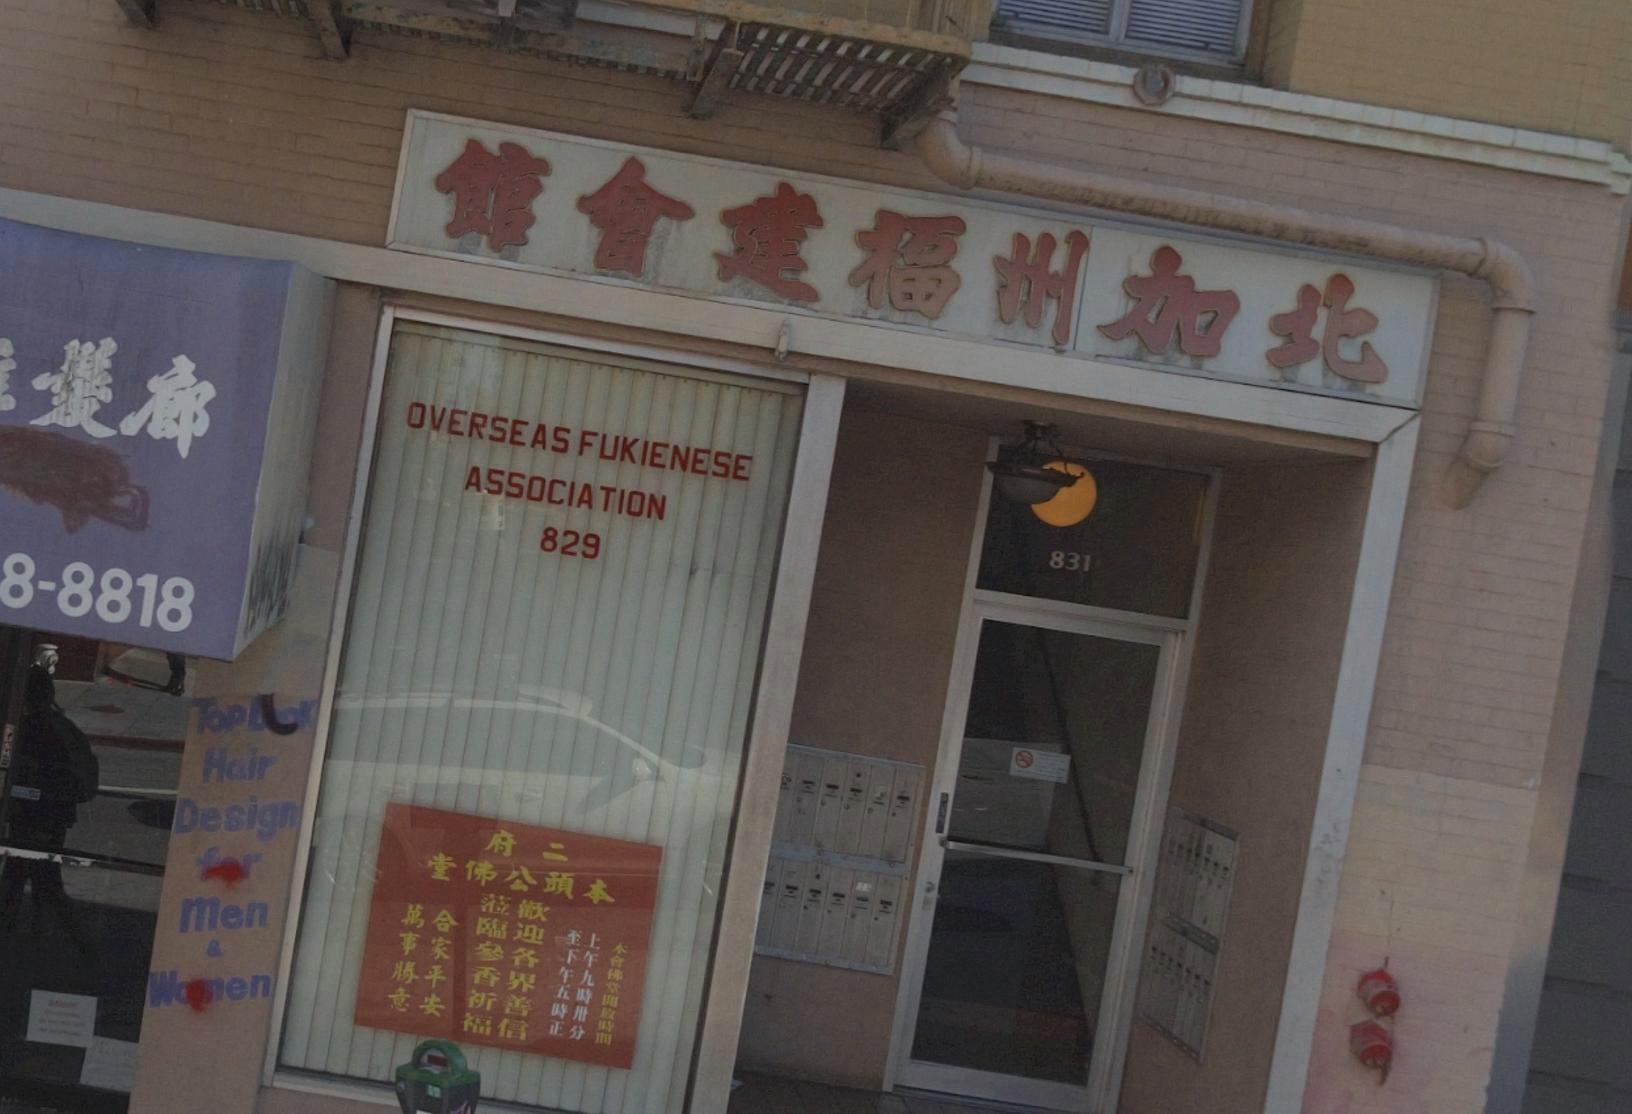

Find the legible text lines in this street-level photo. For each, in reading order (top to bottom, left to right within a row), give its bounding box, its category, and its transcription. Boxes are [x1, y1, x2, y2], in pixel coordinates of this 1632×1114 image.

[403, 399, 756, 485] BusinessName: OVERSEASFUKIENESE
[458, 463, 668, 525] BusinessName: ASSOCIATION
[536, 524, 604, 562] StreetNumber: 829
[1046, 548, 1095, 575] StreetNumber: 831
[0, 549, 200, 636] None: 8-8818
[191, 695, 249, 736] None: Top
[199, 743, 279, 784] None: Hair
[171, 793, 301, 842] None: Design
[177, 895, 270, 936] None: men
[201, 937, 224, 960] None: &
[147, 968, 273, 1011] None: W**en